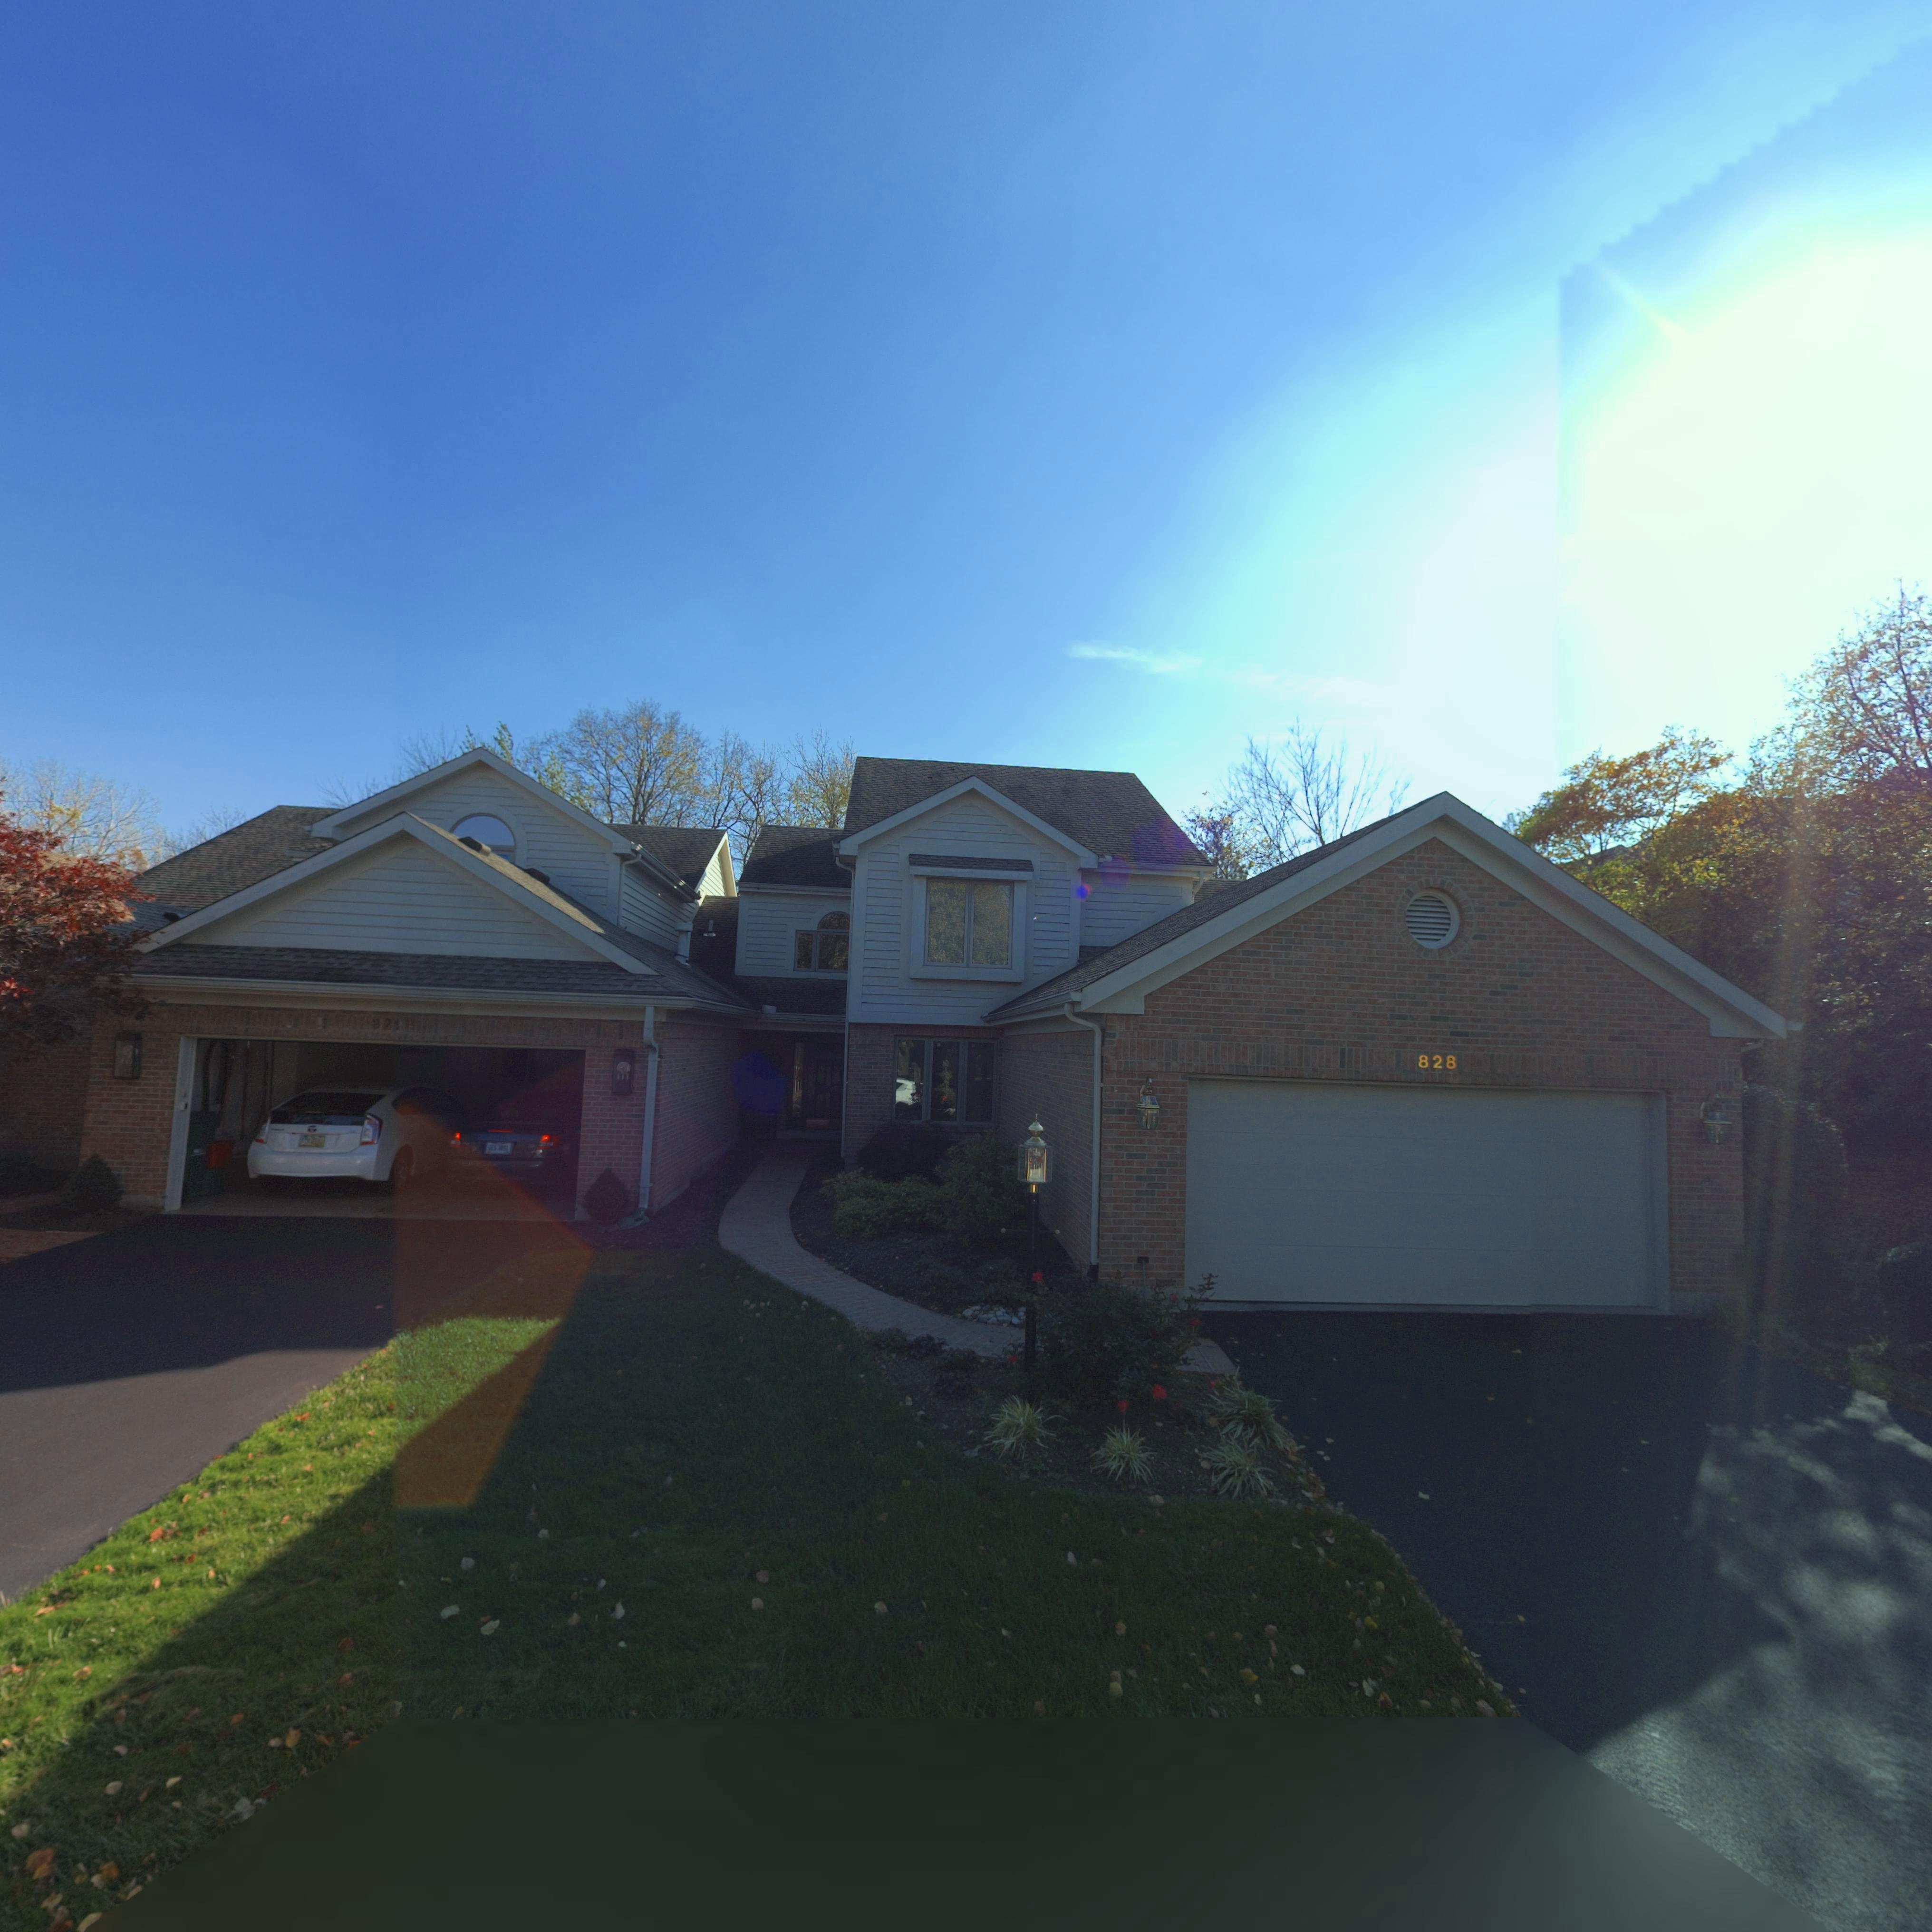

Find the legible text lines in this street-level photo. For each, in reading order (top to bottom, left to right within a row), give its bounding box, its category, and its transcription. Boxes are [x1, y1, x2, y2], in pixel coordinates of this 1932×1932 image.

[372, 1016, 401, 1032] StreetNumber: 82*
[1417, 1052, 1459, 1071] StreetNumber: 828